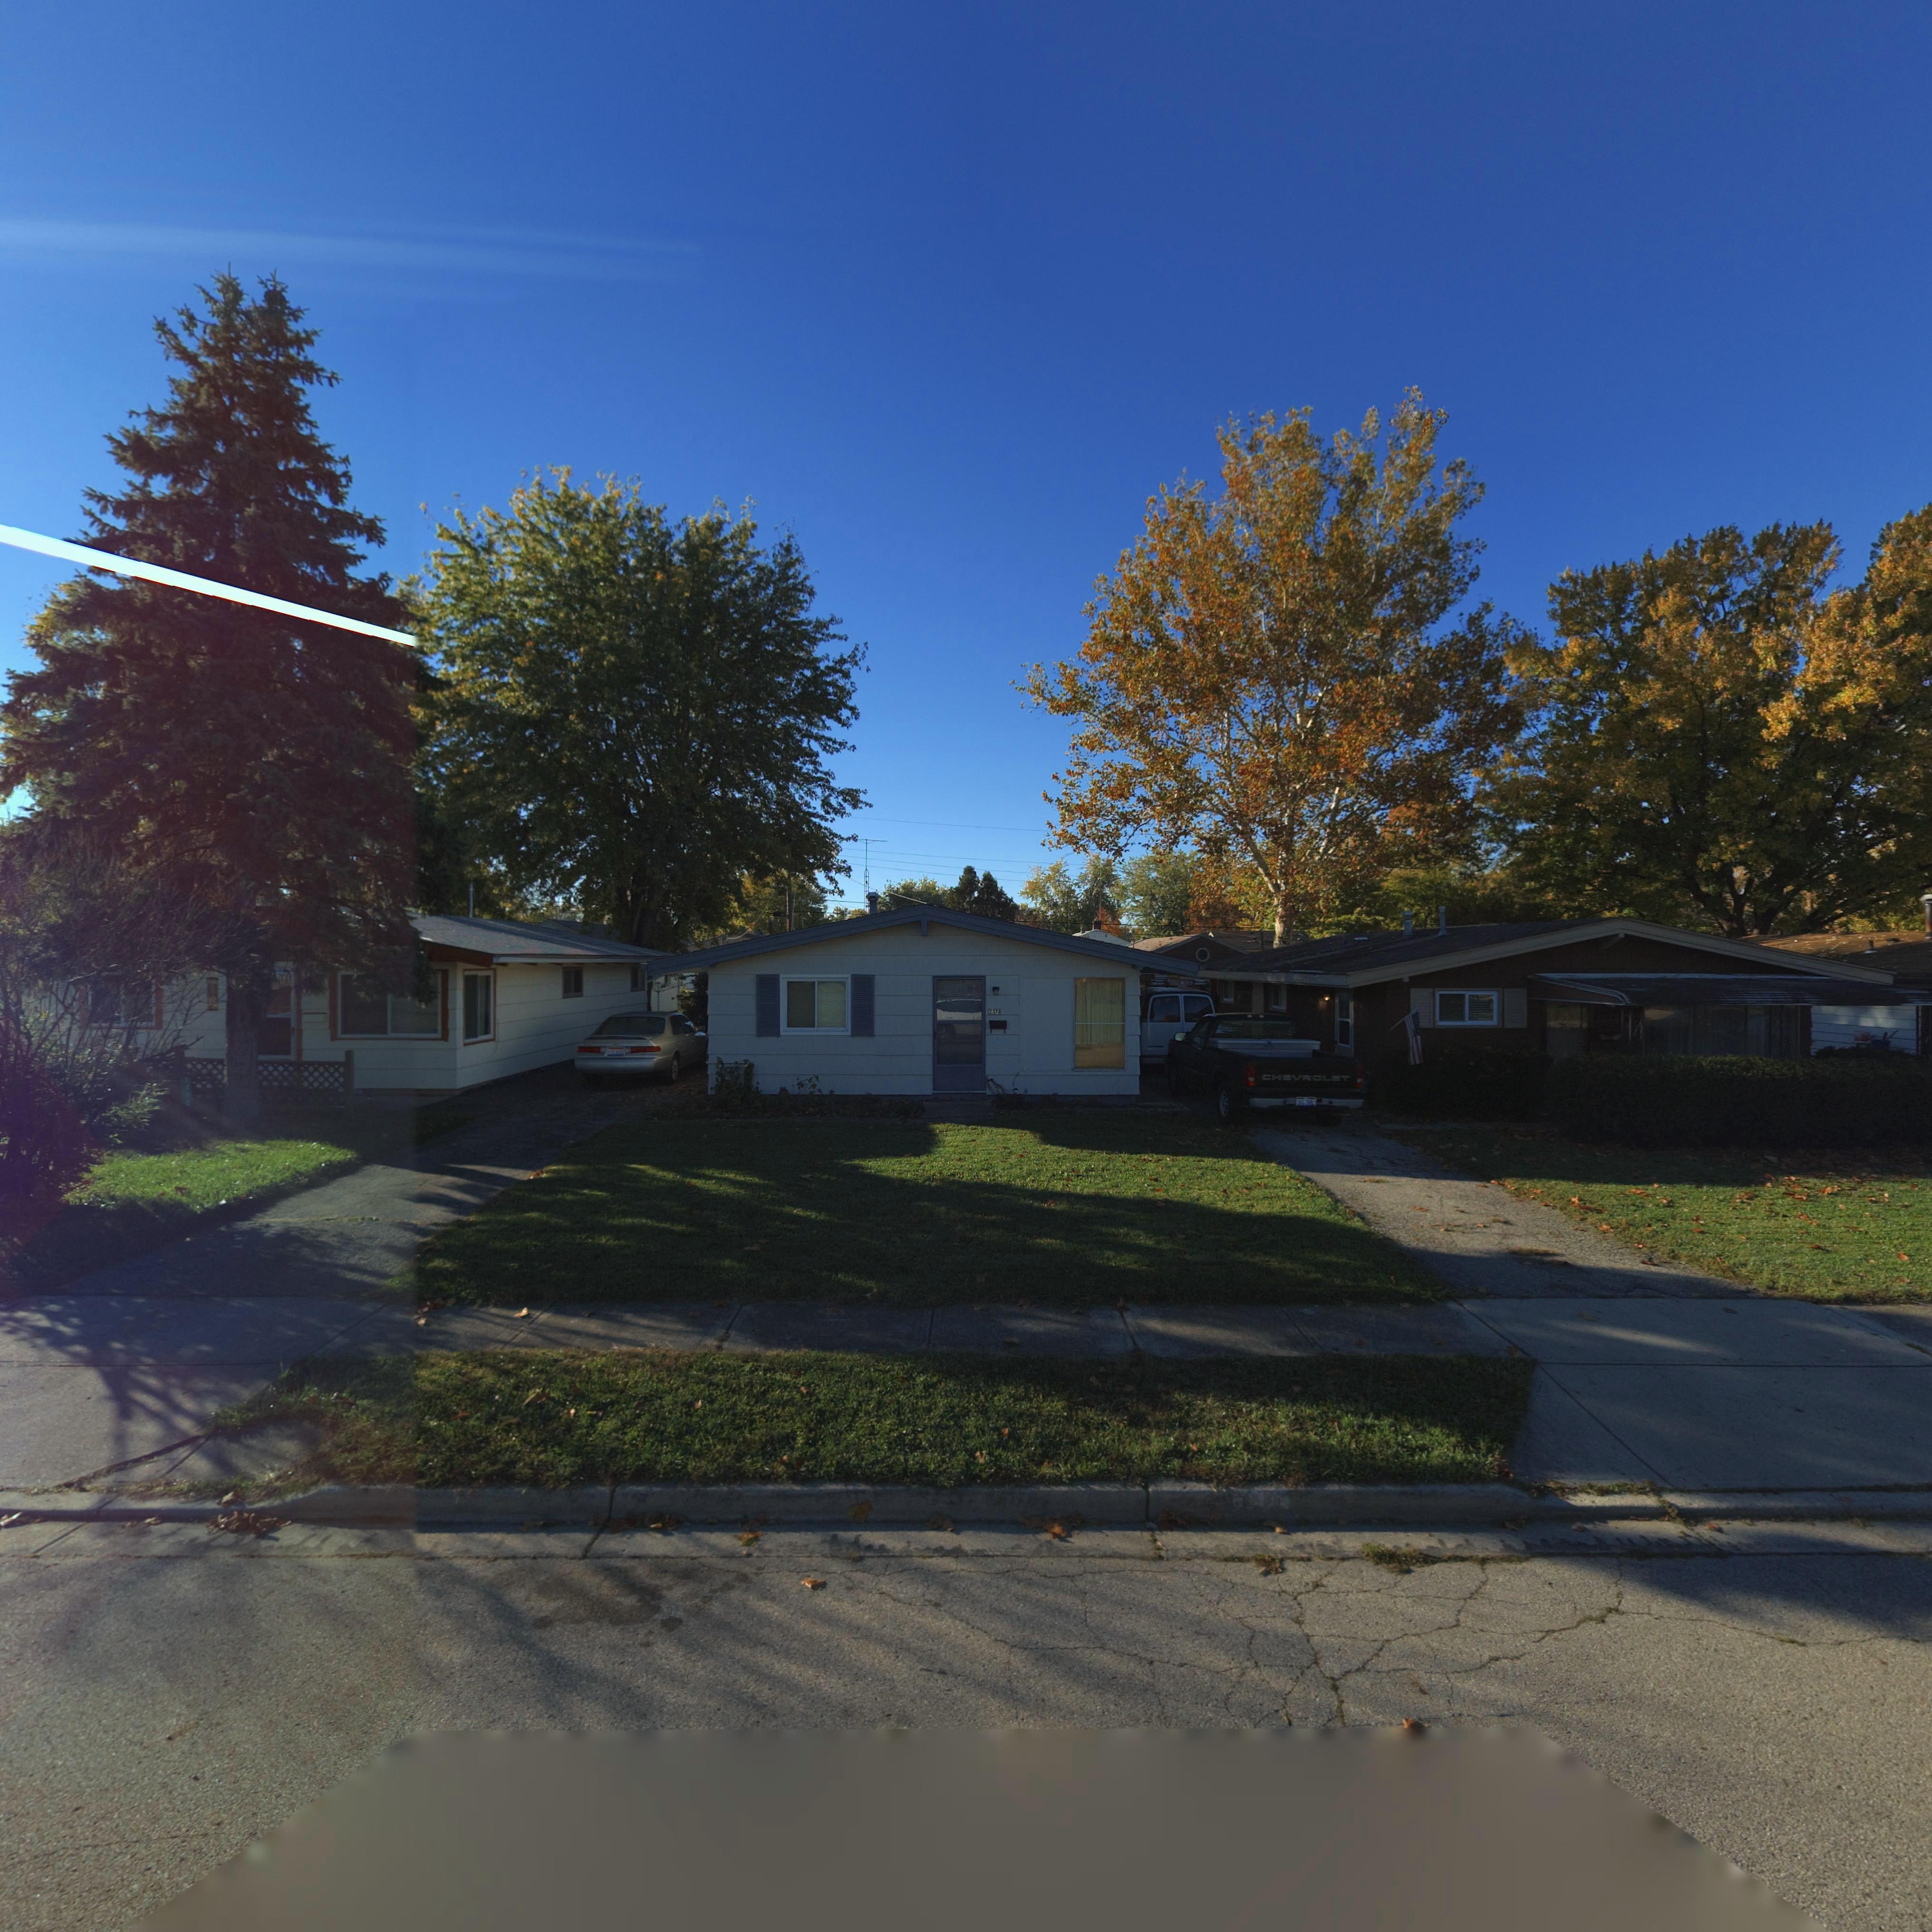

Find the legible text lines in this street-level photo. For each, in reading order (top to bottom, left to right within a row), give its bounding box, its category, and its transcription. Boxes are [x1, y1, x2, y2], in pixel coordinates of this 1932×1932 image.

[988, 1008, 1002, 1015] StreetNumber: 2378
[184, 1076, 191, 1106] StreetNumber: ***2